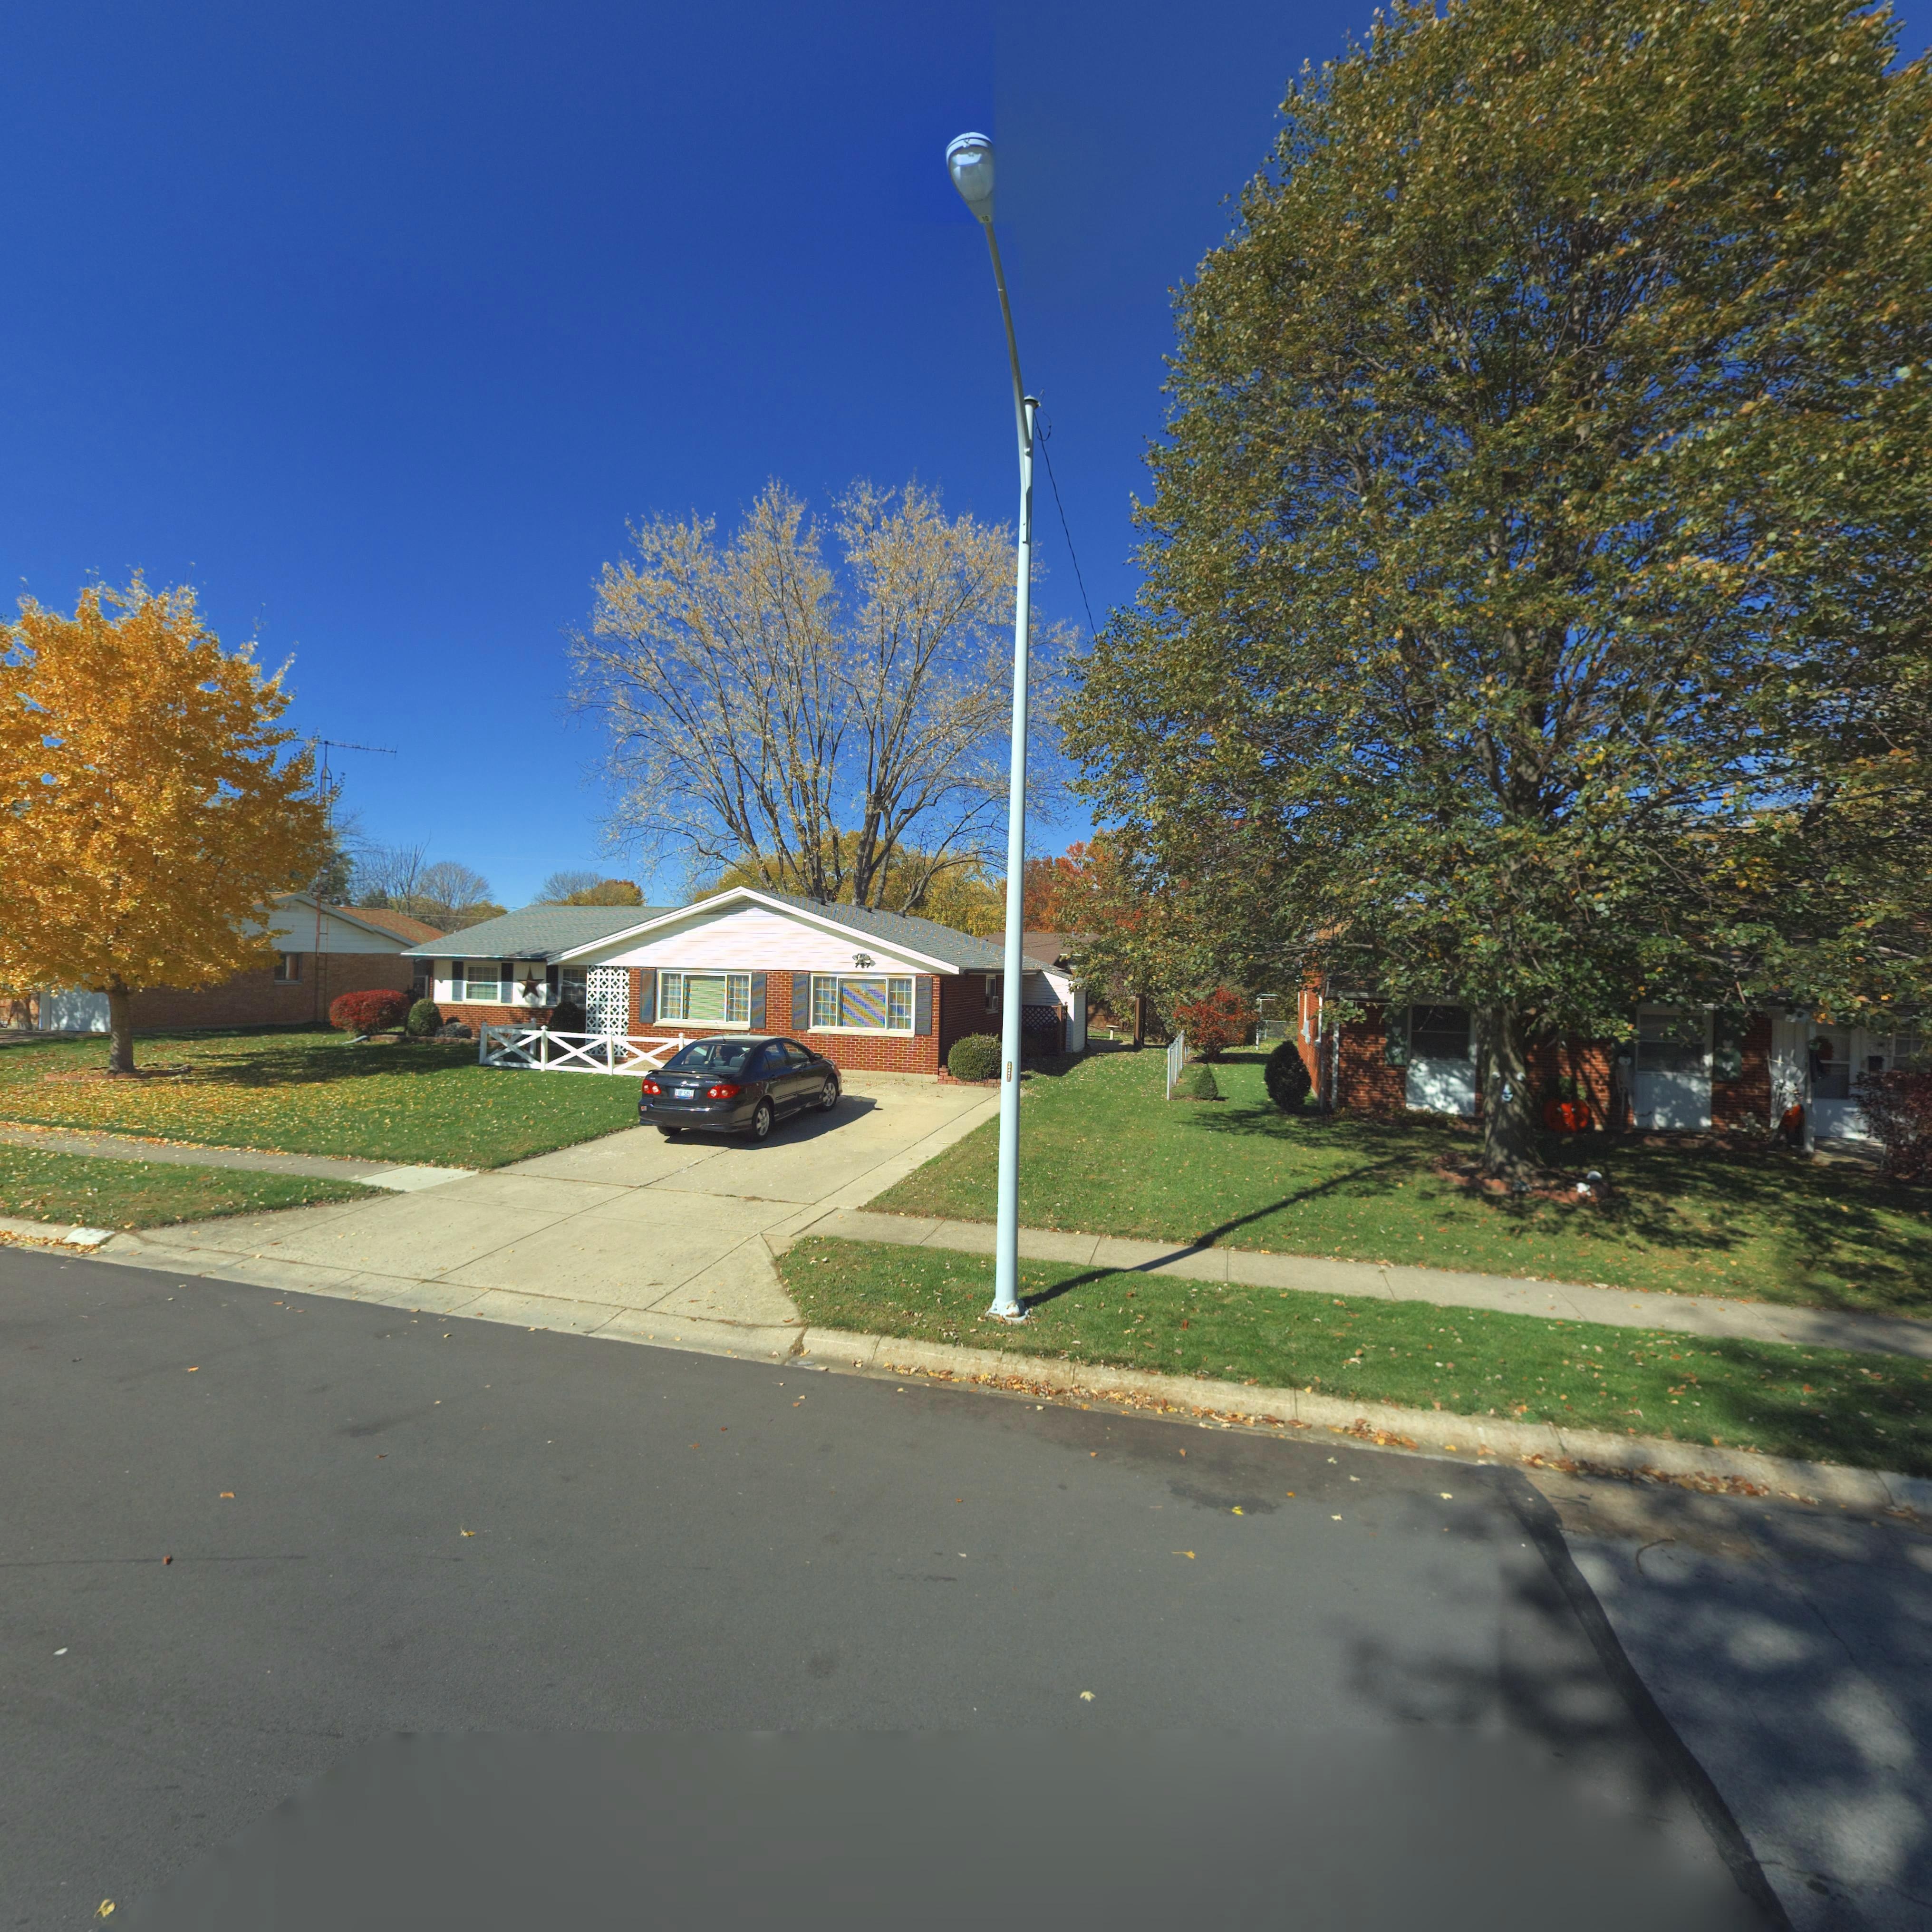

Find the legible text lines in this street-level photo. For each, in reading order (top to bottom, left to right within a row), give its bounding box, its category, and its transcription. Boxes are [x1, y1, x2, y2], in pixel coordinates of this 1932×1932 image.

[72, 1227, 113, 1237] StreetNumber: 72*